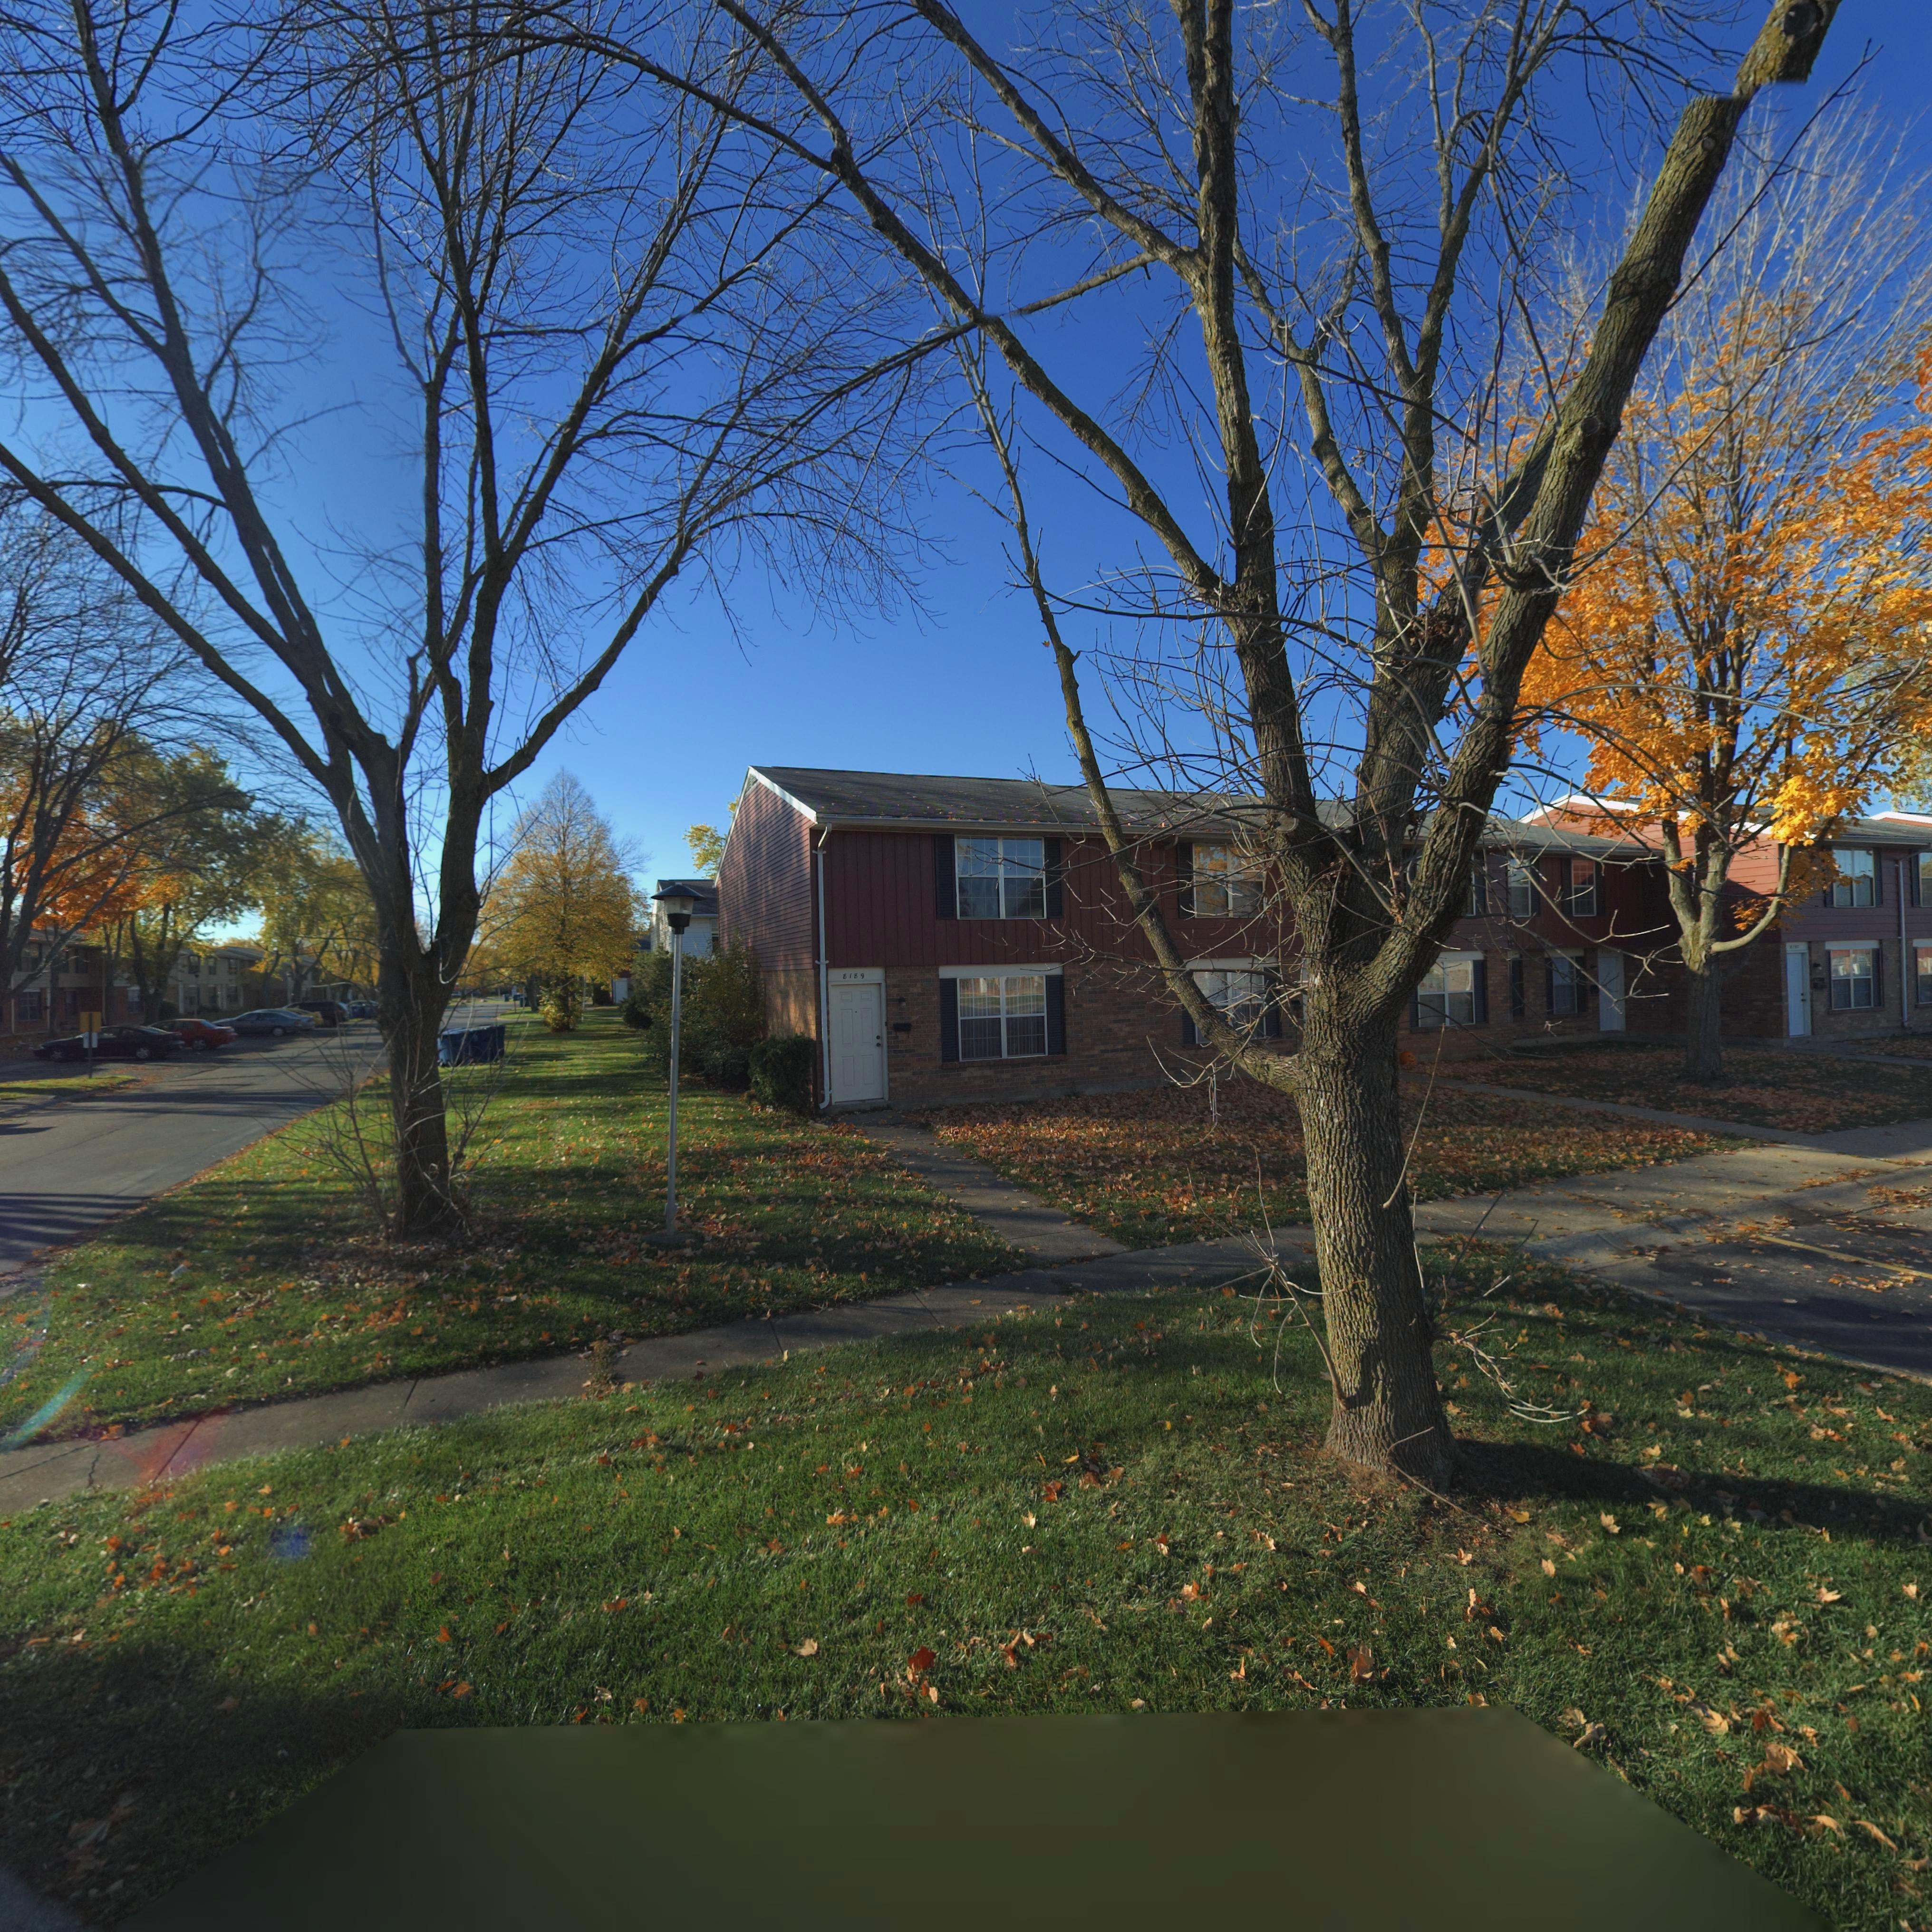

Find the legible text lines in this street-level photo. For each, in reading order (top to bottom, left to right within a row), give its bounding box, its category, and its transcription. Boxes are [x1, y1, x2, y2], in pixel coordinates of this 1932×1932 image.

[1789, 945, 1799, 949] StreetNumber: 8197
[842, 973, 865, 980] StreetNumber: 8189